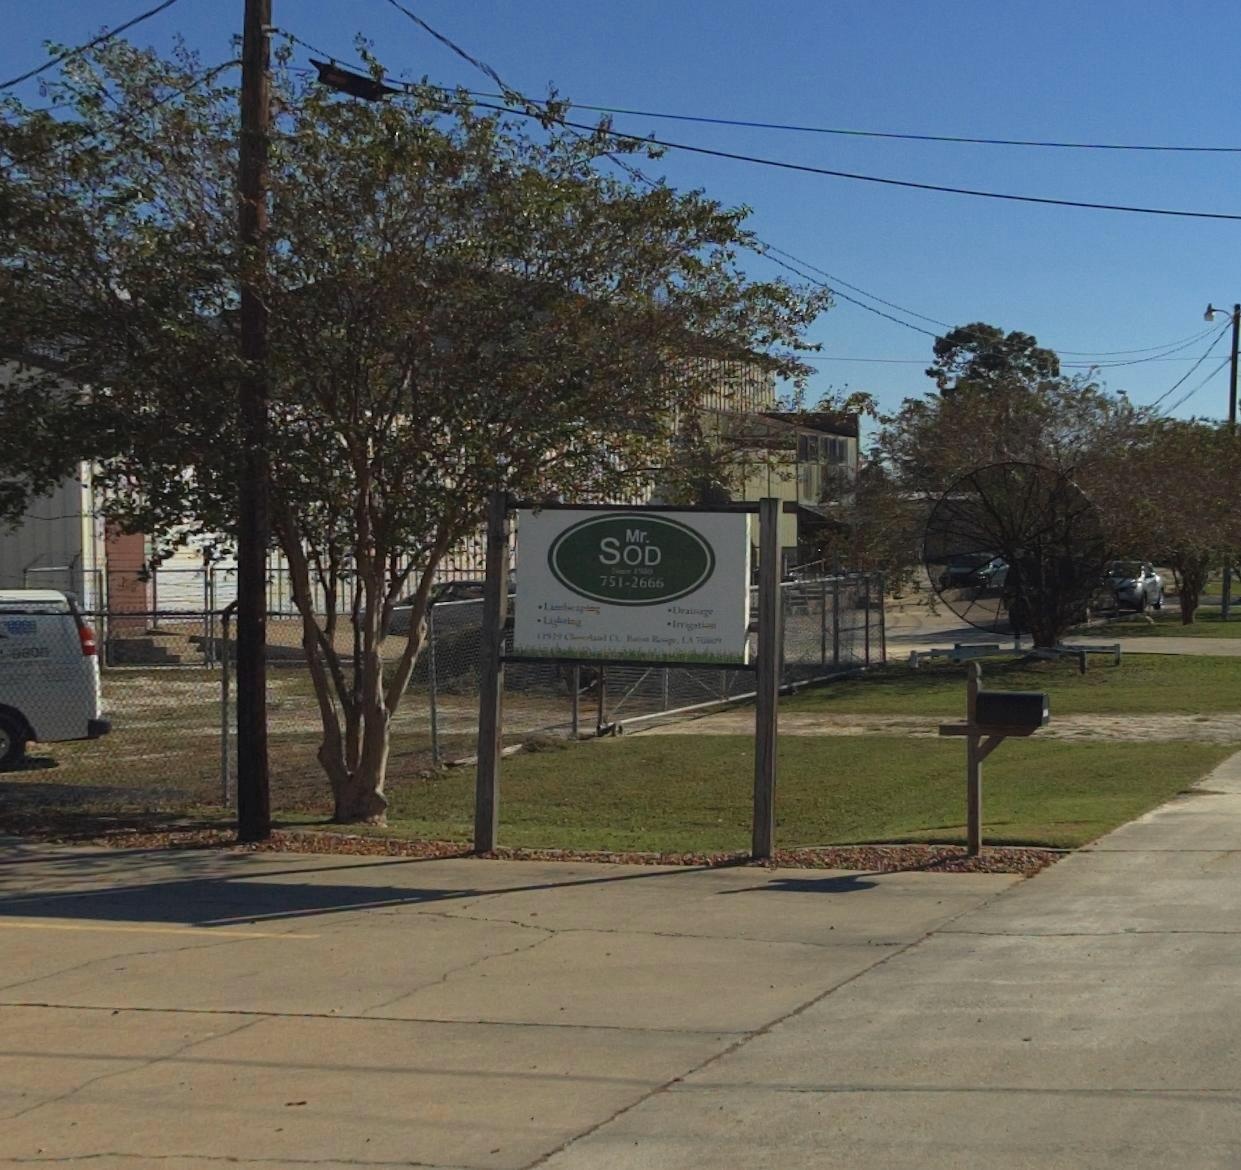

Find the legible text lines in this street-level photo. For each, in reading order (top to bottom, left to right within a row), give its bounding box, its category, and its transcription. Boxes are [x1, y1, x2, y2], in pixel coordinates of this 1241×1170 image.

[623, 525, 654, 546] BusinessName: Mr.
[596, 535, 664, 568] BusinessName: SOD
[596, 573, 667, 591] None: 751-2666